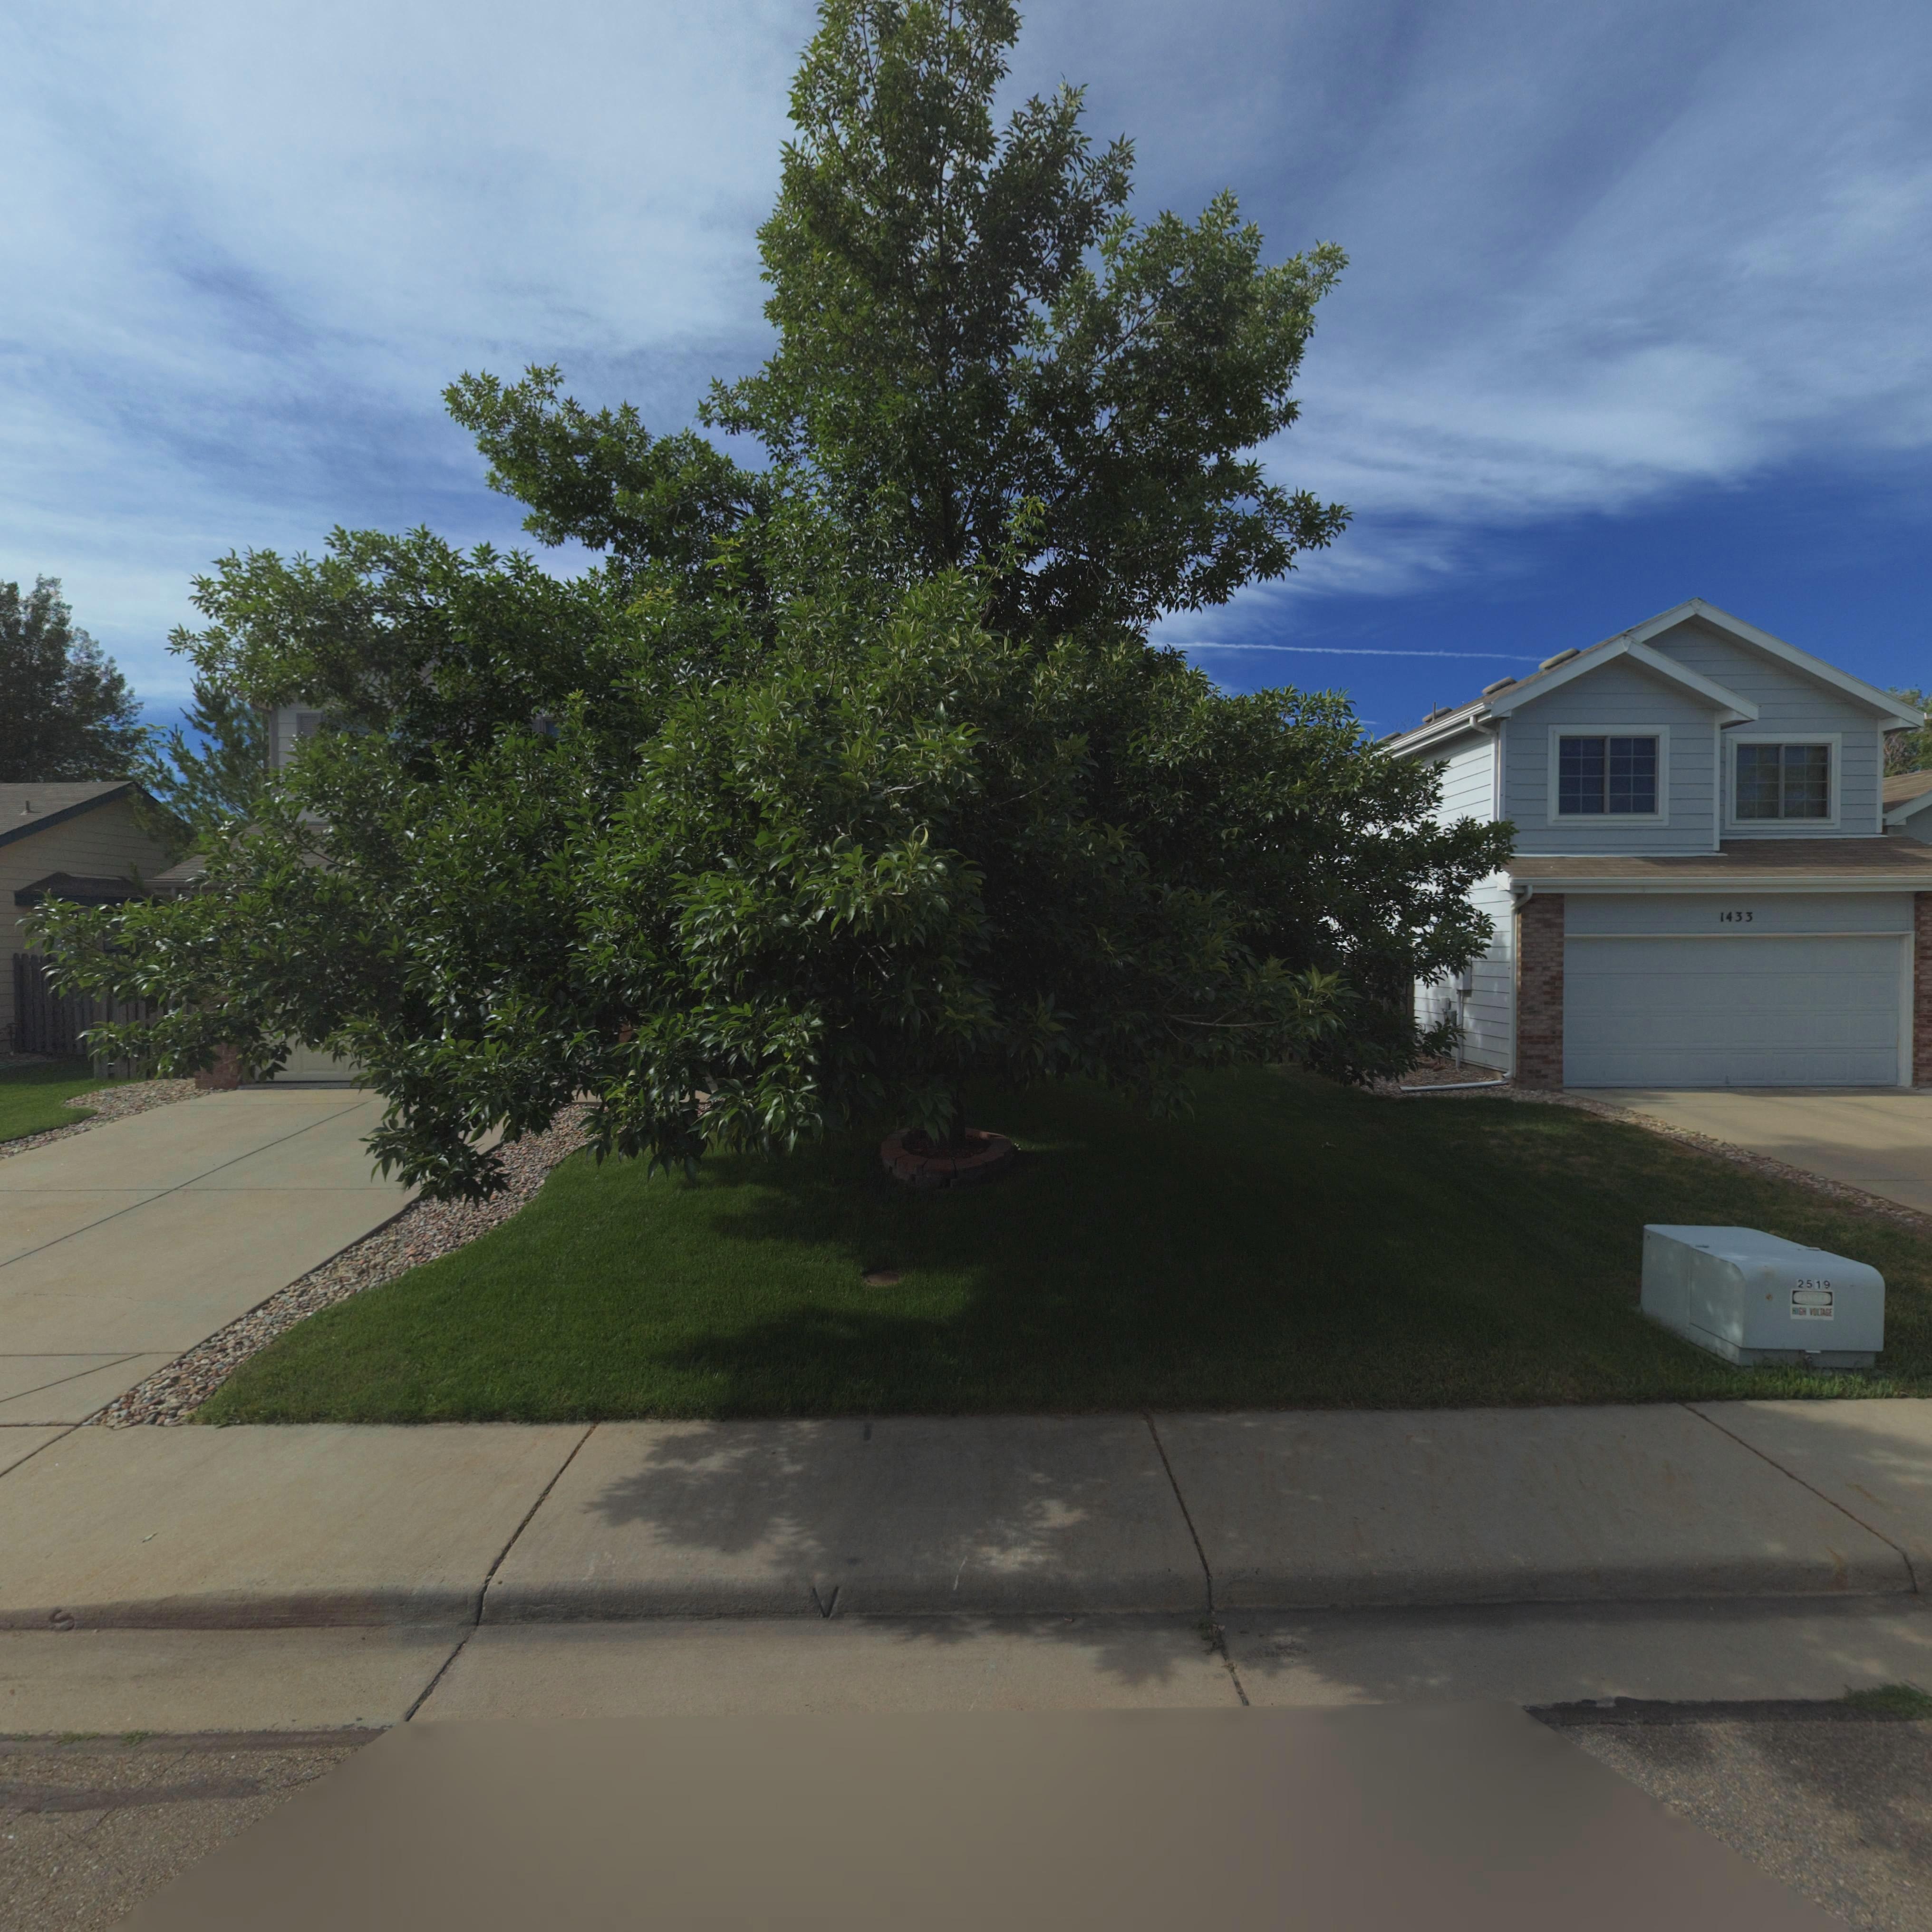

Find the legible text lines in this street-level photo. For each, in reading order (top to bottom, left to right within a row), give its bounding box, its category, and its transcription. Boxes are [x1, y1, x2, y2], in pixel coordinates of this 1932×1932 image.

[1719, 911, 1753, 923] StreetNumber: 1433